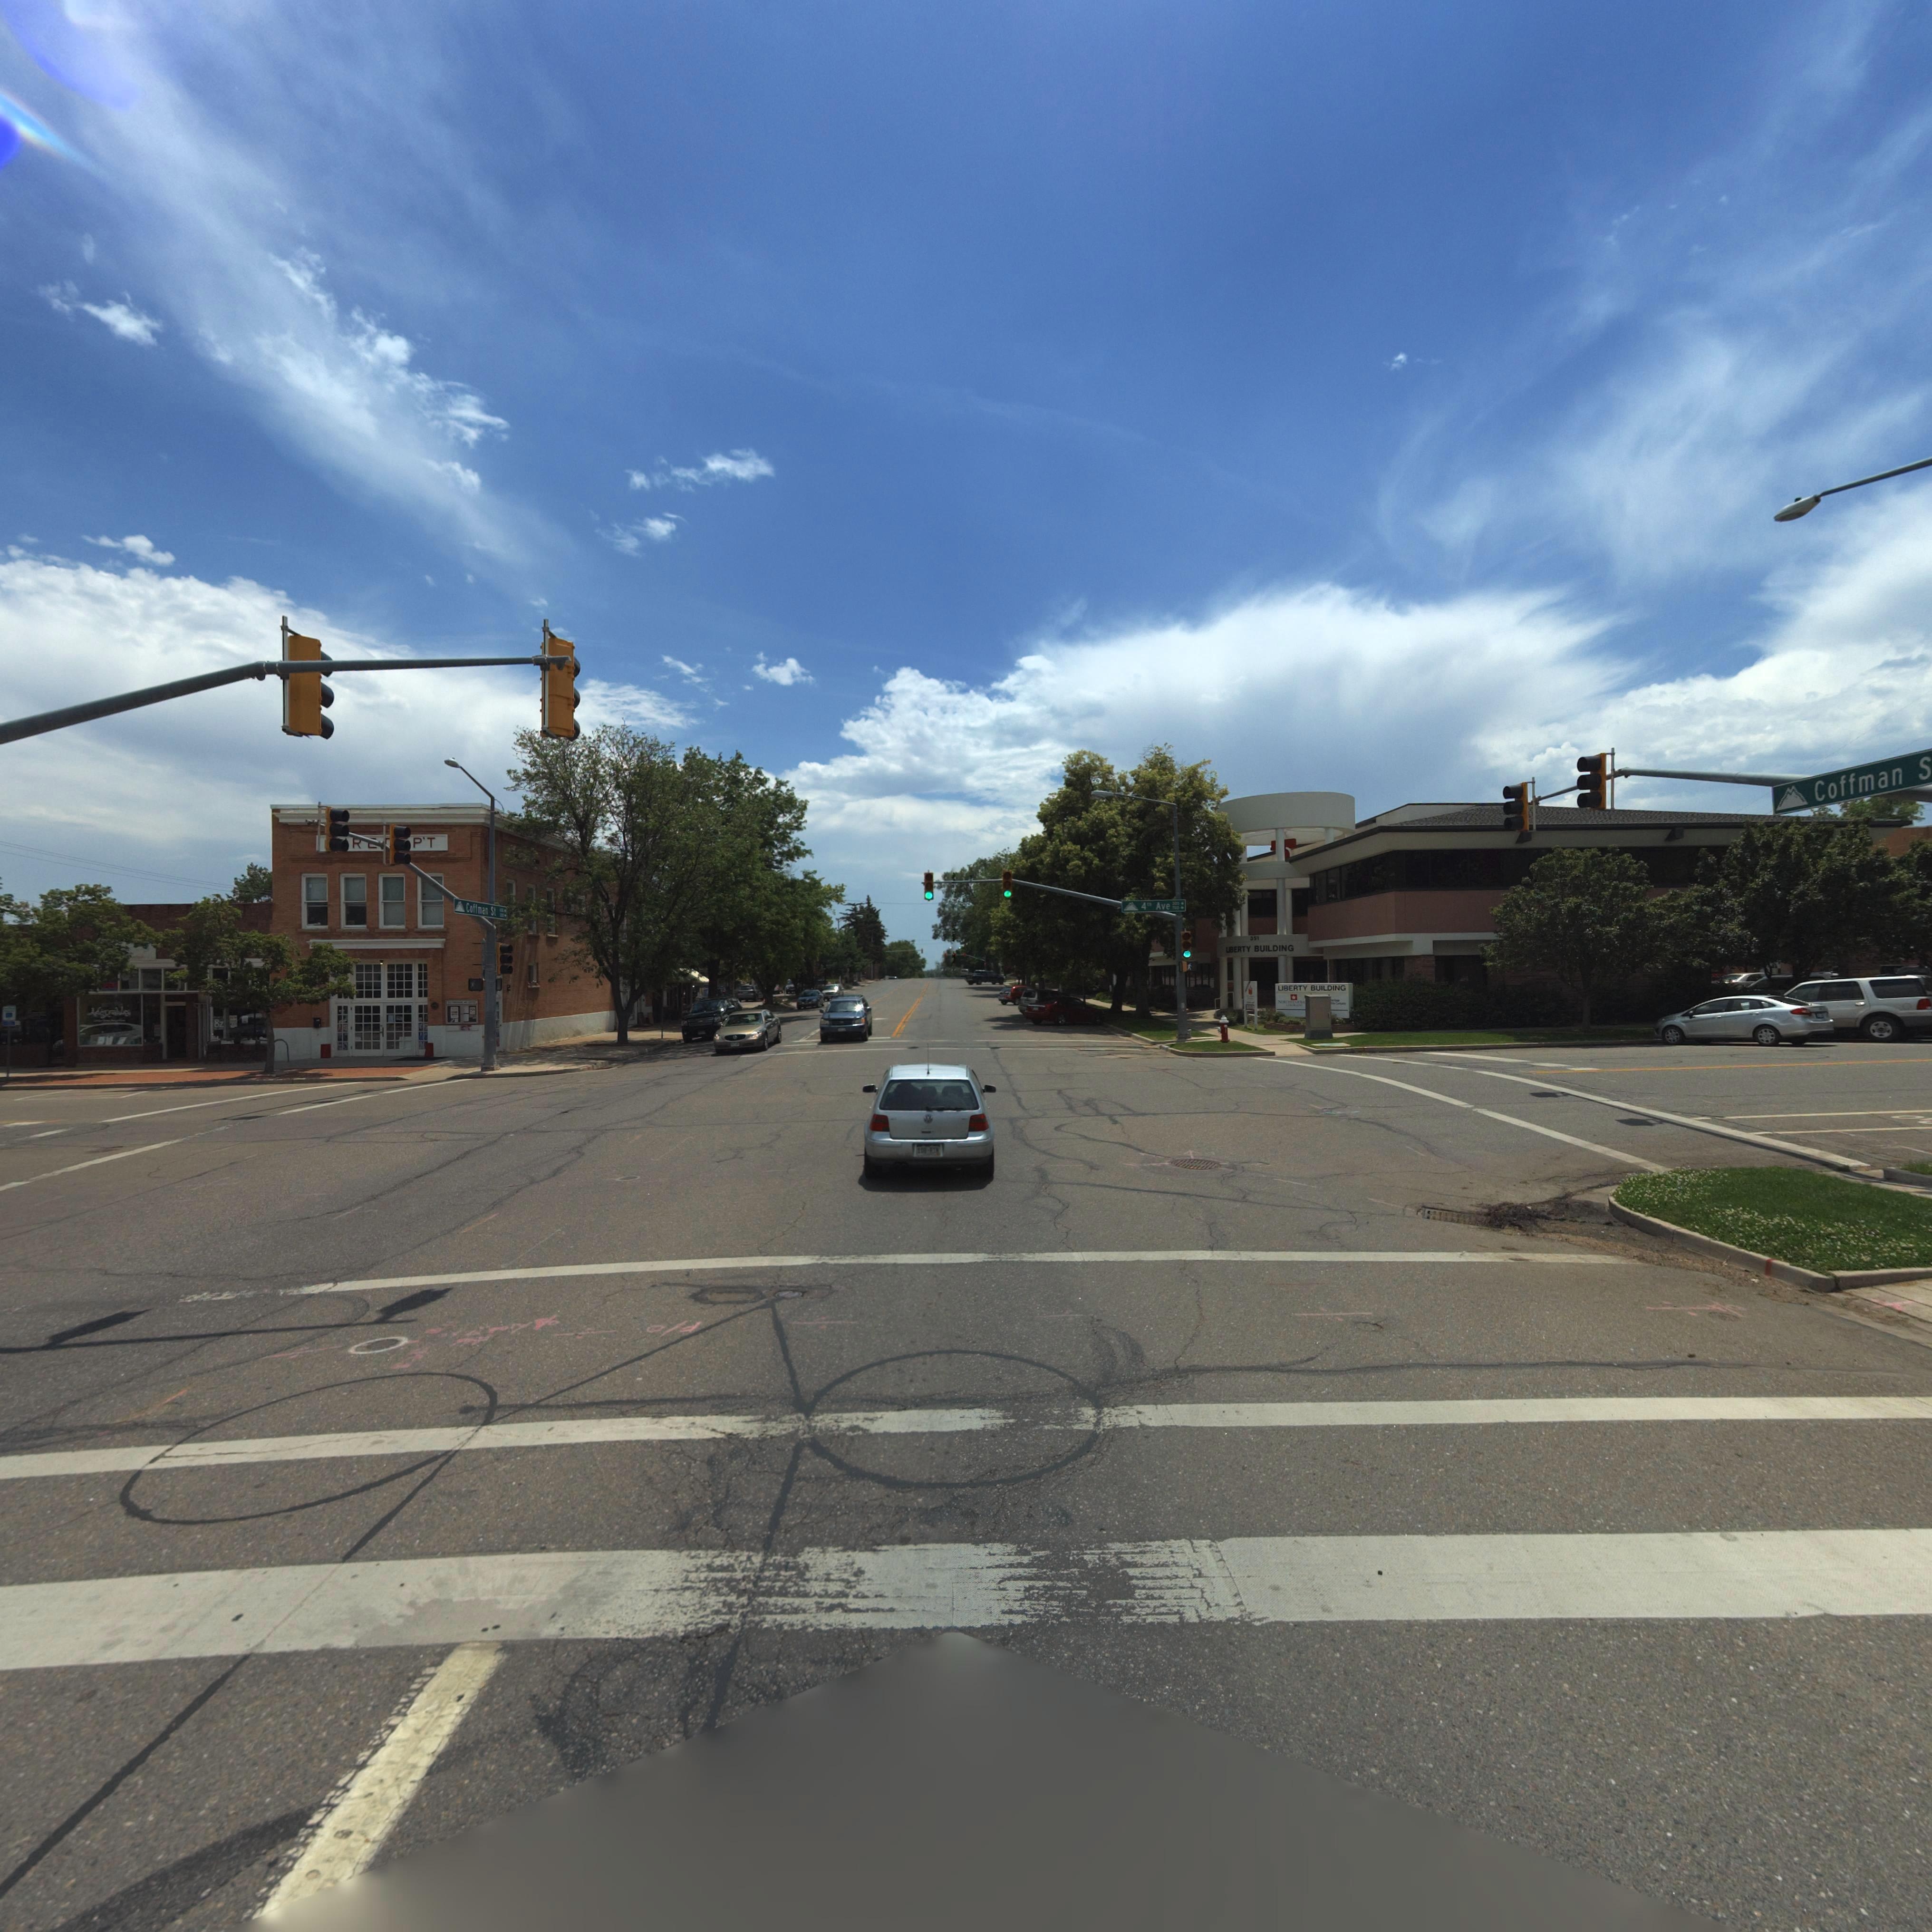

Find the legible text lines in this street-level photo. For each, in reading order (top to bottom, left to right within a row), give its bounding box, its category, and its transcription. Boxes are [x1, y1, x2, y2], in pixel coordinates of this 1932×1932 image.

[1813, 755, 1932, 802] StreetName: Coffman S
[327, 837, 436, 850] BusinessName: **** **P'T
[466, 902, 496, 916] StreetName: Coffman St
[1140, 901, 1170, 910] StreetName: 4** Ave
[1172, 901, 1179, 905] StreetNumberRange: *00
[1172, 906, 1184, 910] StreetNumberRange: 700->
[1249, 936, 1259, 940] StreetNumber: 351
[1277, 1000, 1305, 1004] BusinessName: NOR** AMERICA
[86, 1005, 132, 1019] BusinessName: M*****